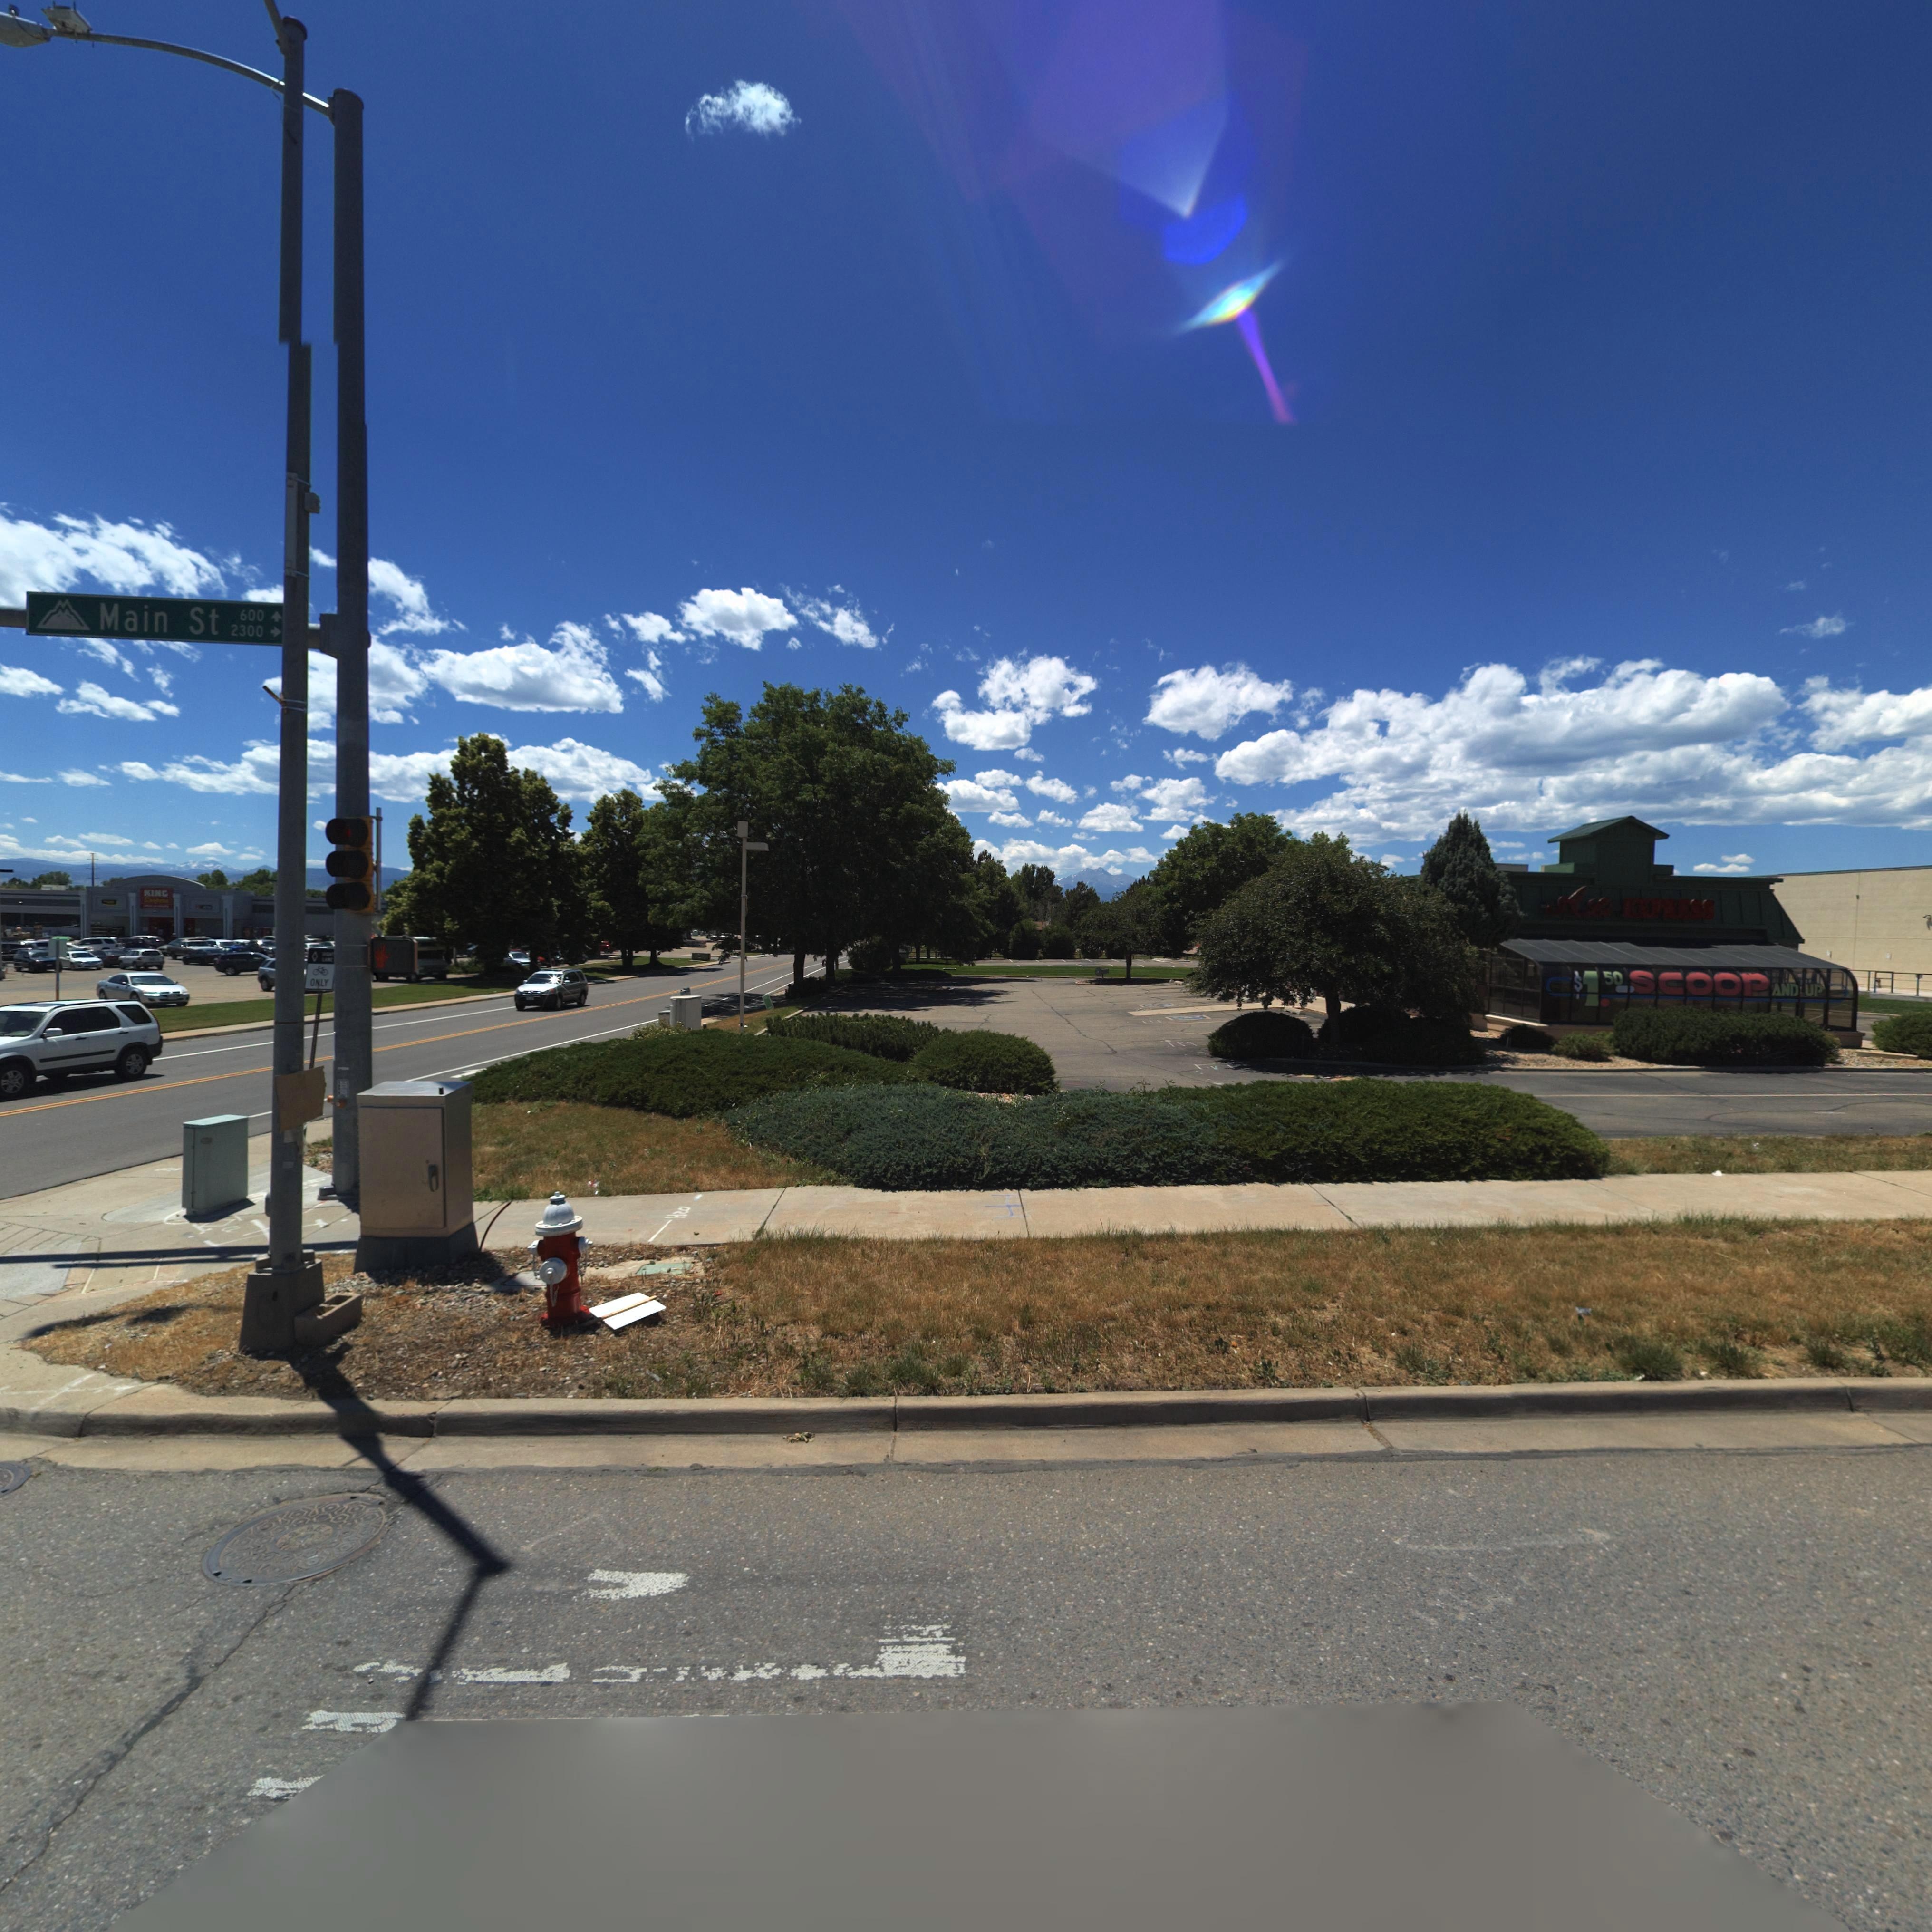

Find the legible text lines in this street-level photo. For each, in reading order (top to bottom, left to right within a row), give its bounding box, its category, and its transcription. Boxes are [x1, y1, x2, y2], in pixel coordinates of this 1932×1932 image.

[99, 602, 219, 636] StreetName: Main St
[240, 609, 264, 622] StreetNumberRange: 600
[230, 624, 283, 638] StreetNumberRange: 2300->
[143, 889, 168, 897] BusinessName: KING
[143, 896, 169, 904] BusinessName: S*****
[1542, 884, 1715, 920] BusinessName: Ali EXPRESS